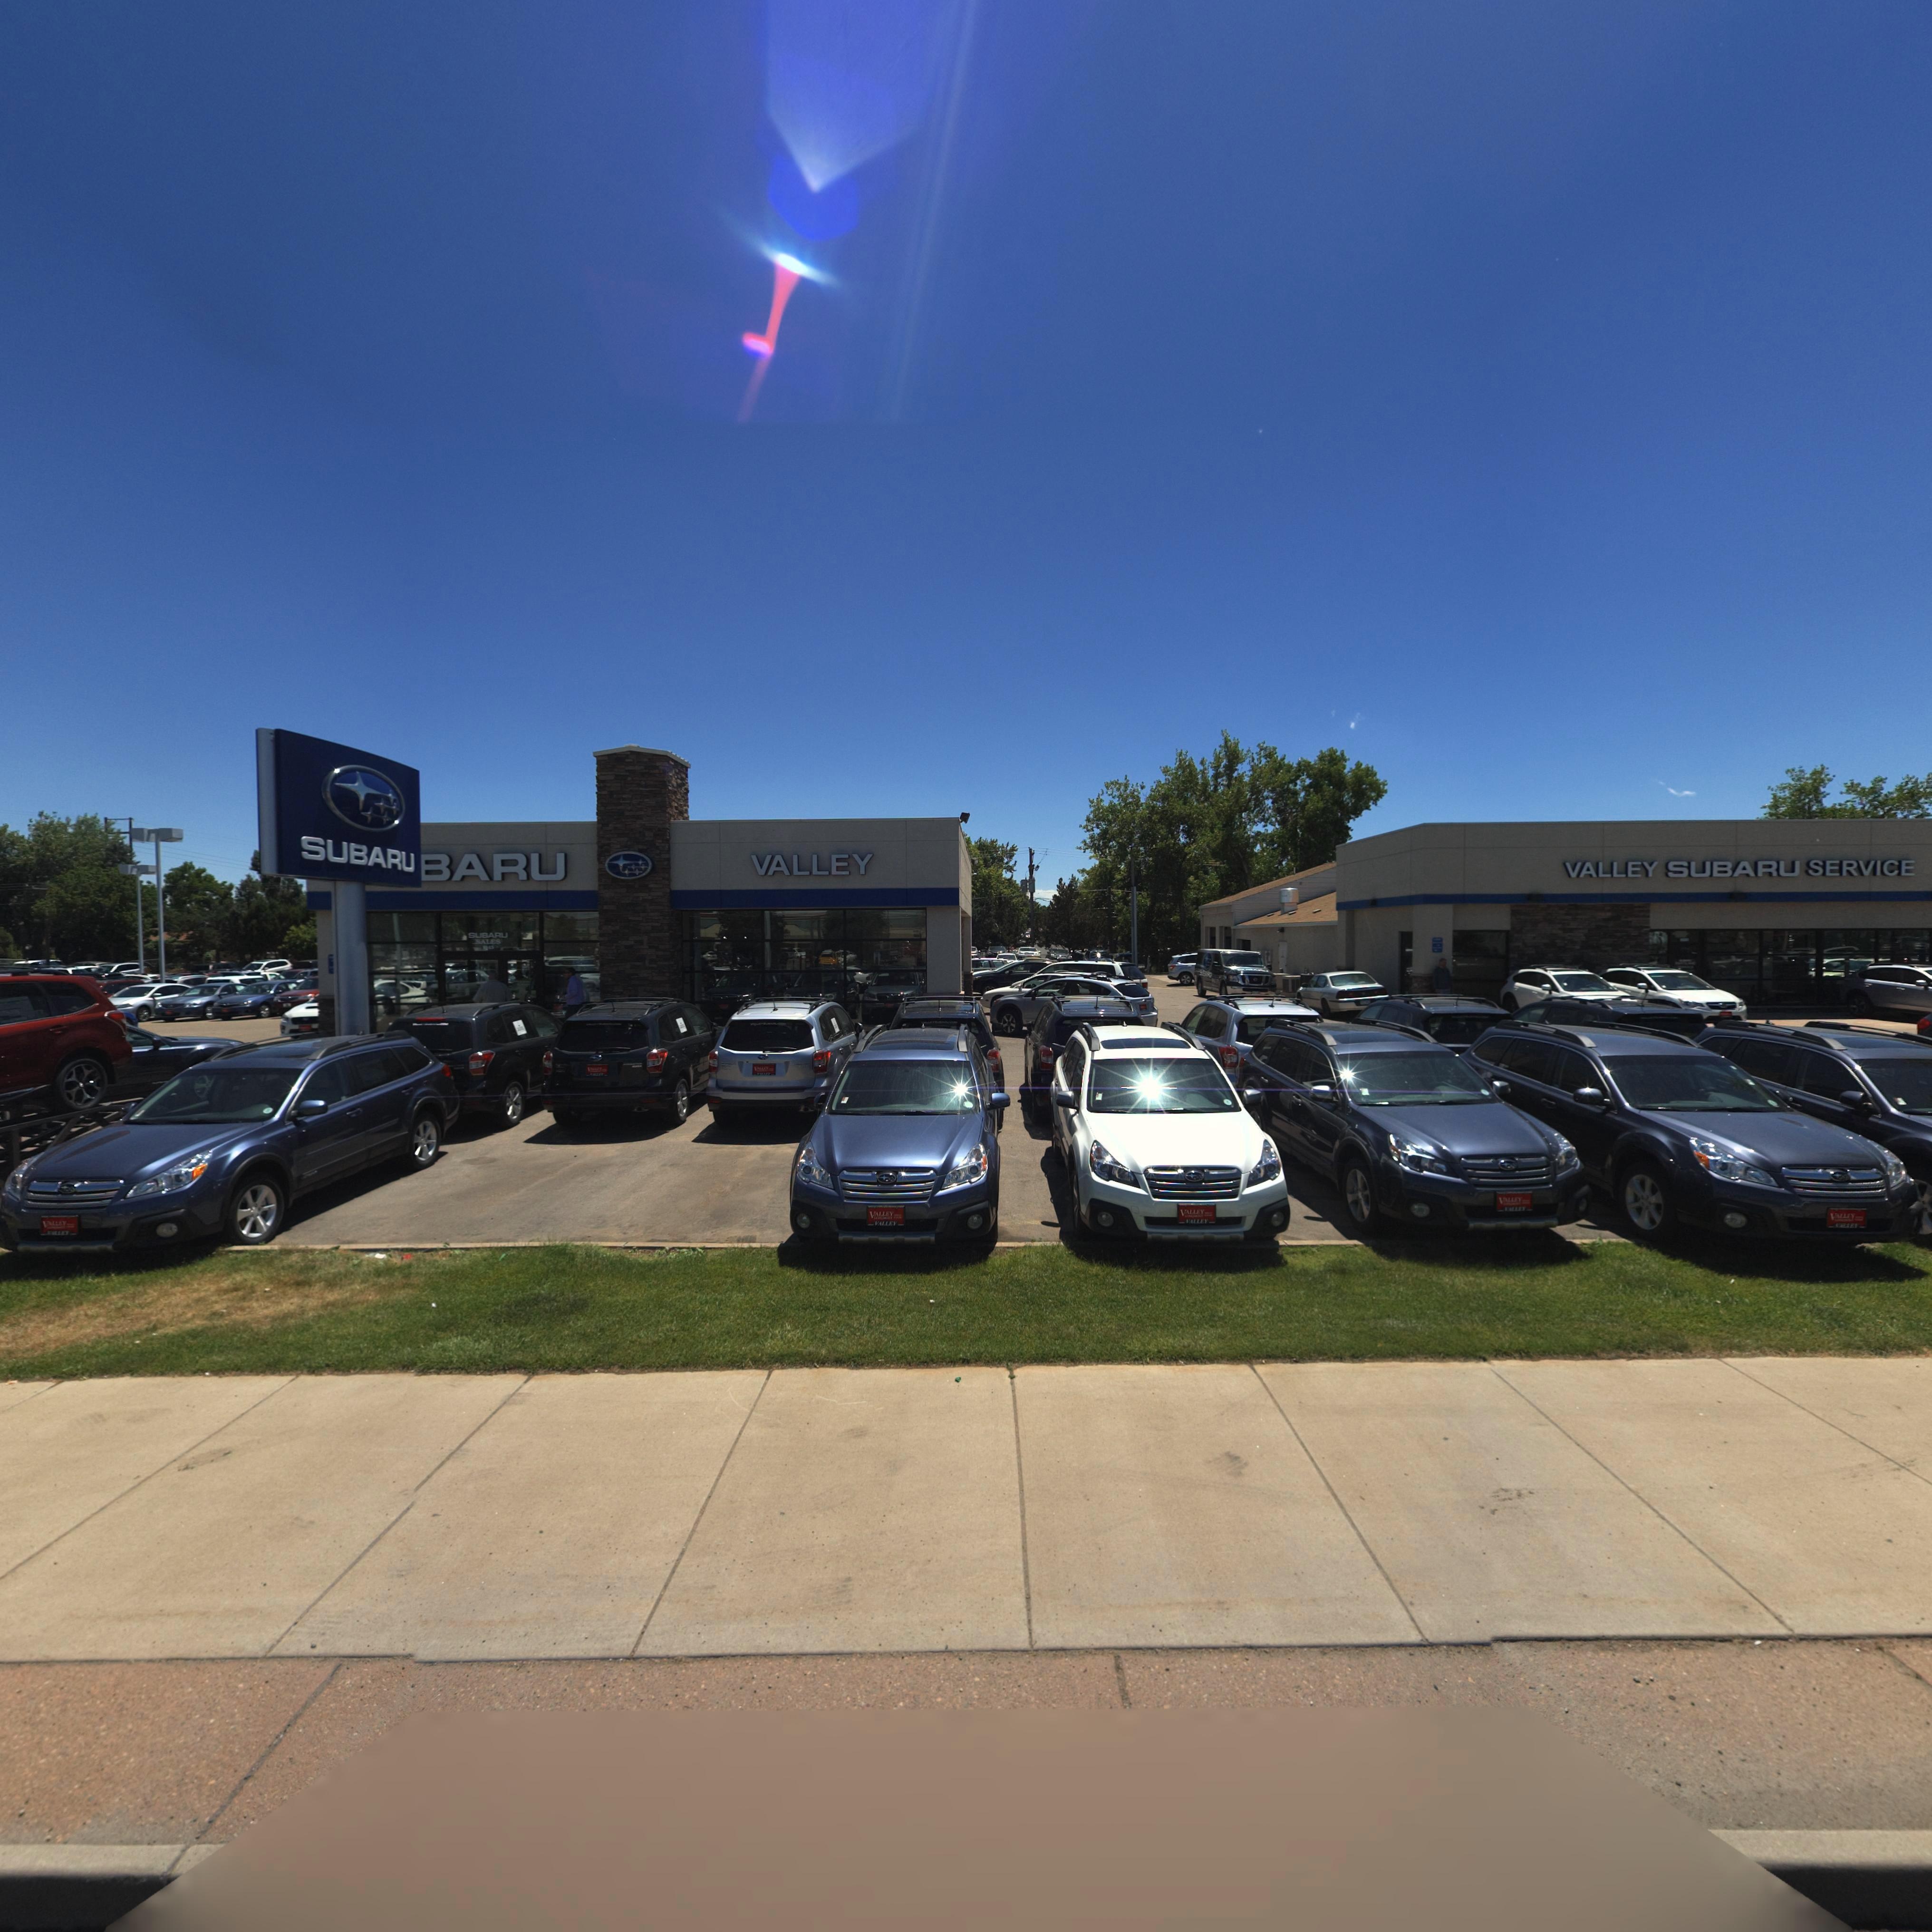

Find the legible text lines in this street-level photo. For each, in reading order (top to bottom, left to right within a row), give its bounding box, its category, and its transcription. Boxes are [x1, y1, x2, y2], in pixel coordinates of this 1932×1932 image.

[300, 835, 415, 873] BusinessName: SUBARU
[421, 852, 565, 881] BusinessName: BARU
[751, 853, 874, 876] StreetNumber: VALLEY
[1563, 859, 1916, 878] BusinessName: VALLEY SUBARU SERVICE